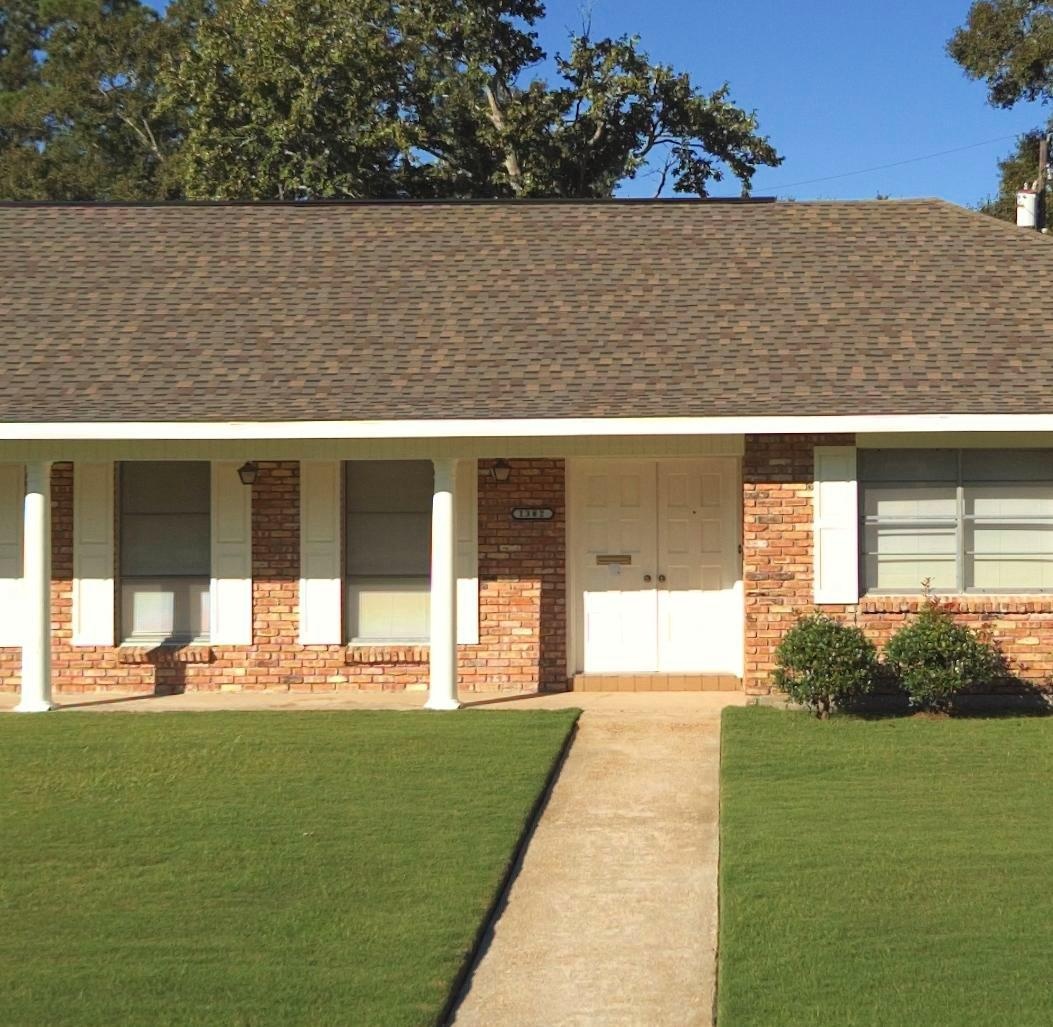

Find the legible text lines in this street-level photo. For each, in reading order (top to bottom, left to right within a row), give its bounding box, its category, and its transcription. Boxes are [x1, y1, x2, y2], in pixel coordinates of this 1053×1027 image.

[516, 507, 548, 519] StreetNumber: 1362